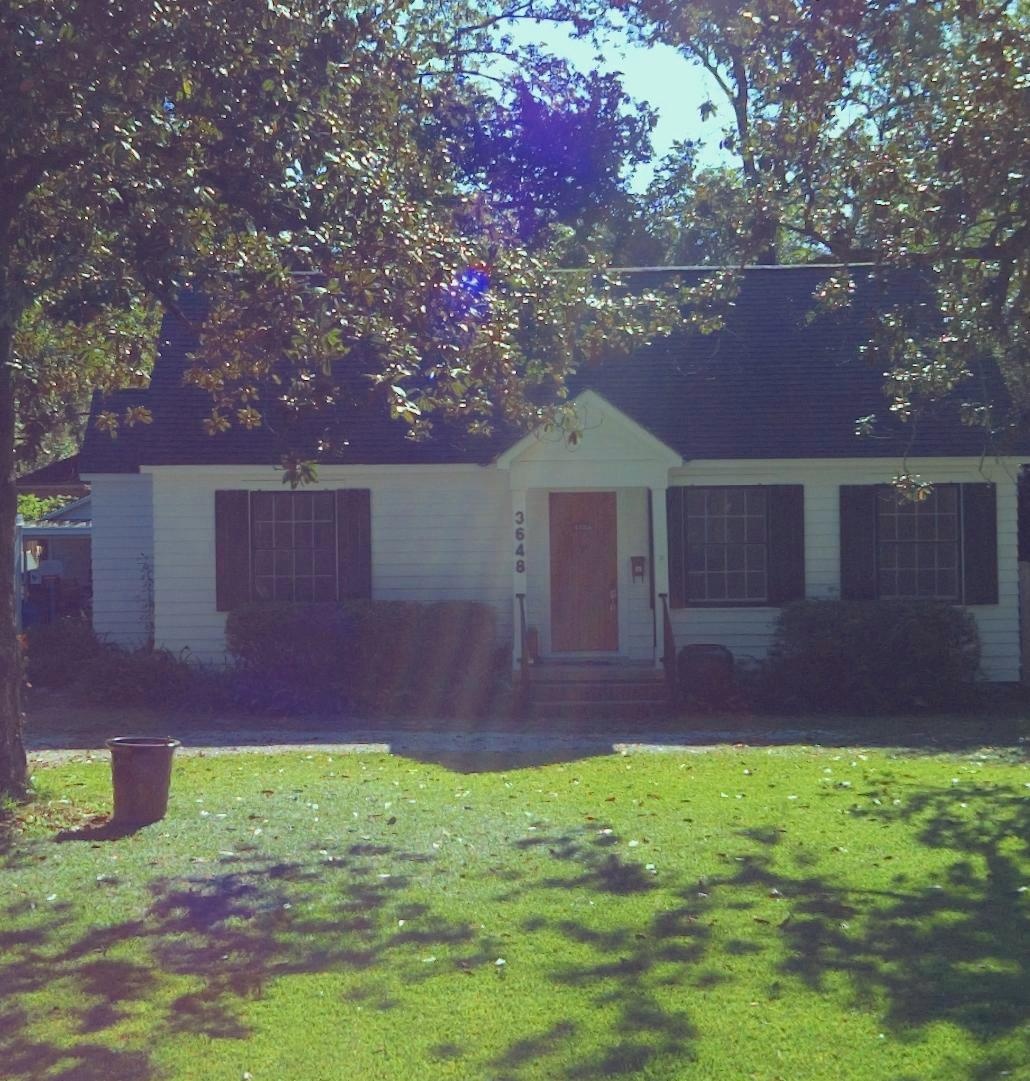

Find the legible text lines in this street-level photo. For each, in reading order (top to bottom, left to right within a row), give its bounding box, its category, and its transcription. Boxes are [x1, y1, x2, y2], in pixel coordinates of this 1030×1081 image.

[513, 508, 527, 576] StreetNumber: 3648